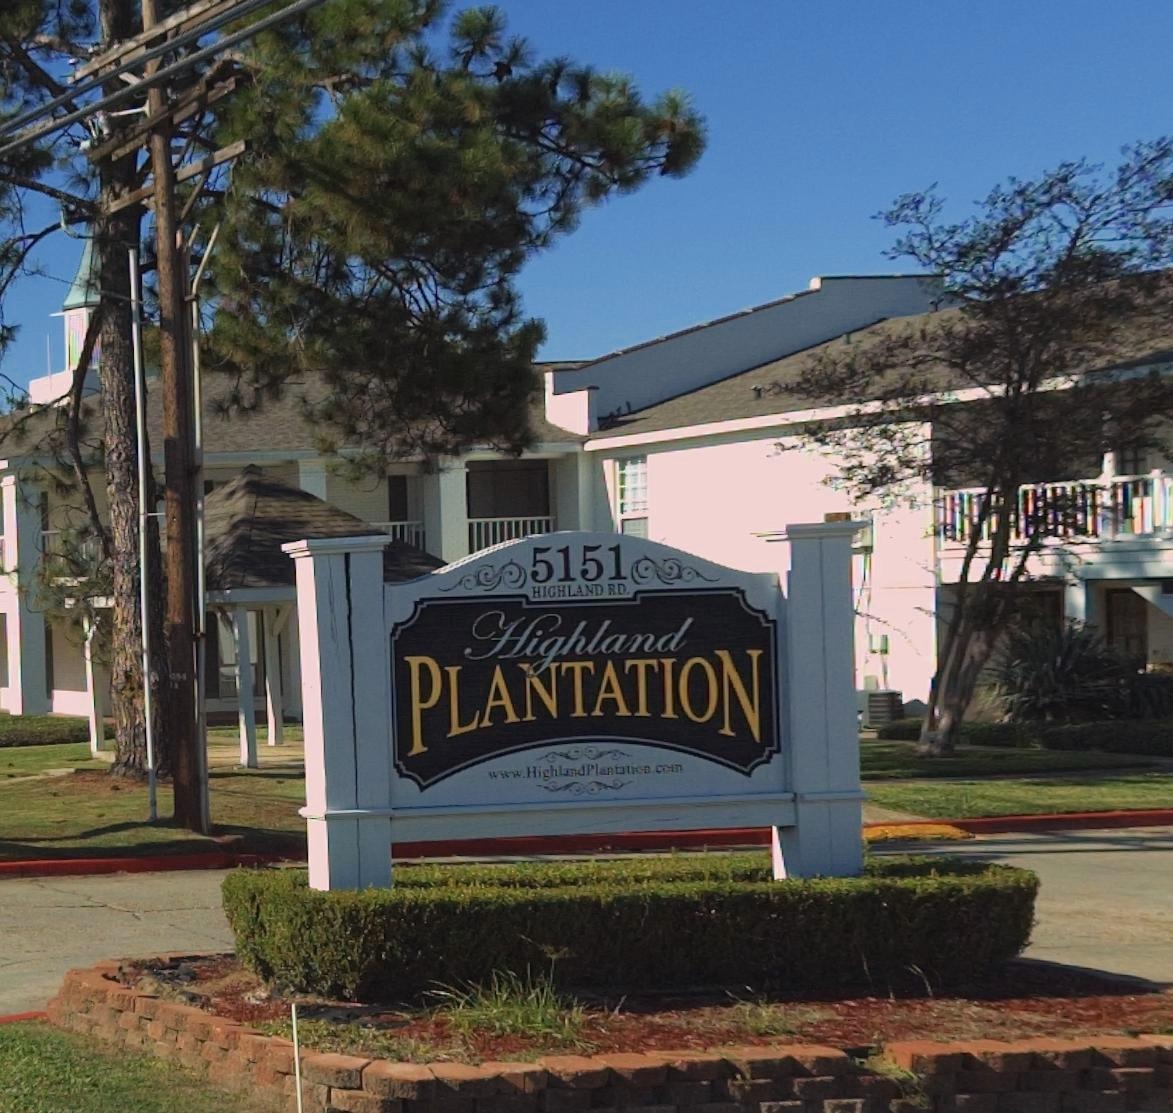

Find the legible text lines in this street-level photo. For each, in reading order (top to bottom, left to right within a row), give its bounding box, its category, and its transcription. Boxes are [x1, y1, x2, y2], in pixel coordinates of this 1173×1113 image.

[527, 540, 630, 585] StreetNumber: 5151
[530, 581, 634, 601] StreetName: HIGHLAND RD.
[469, 609, 701, 681] BusinessName: Highland
[400, 646, 767, 764] BusinessName: PLANTATION
[484, 761, 687, 784] None: www.Highland Plantaion.com